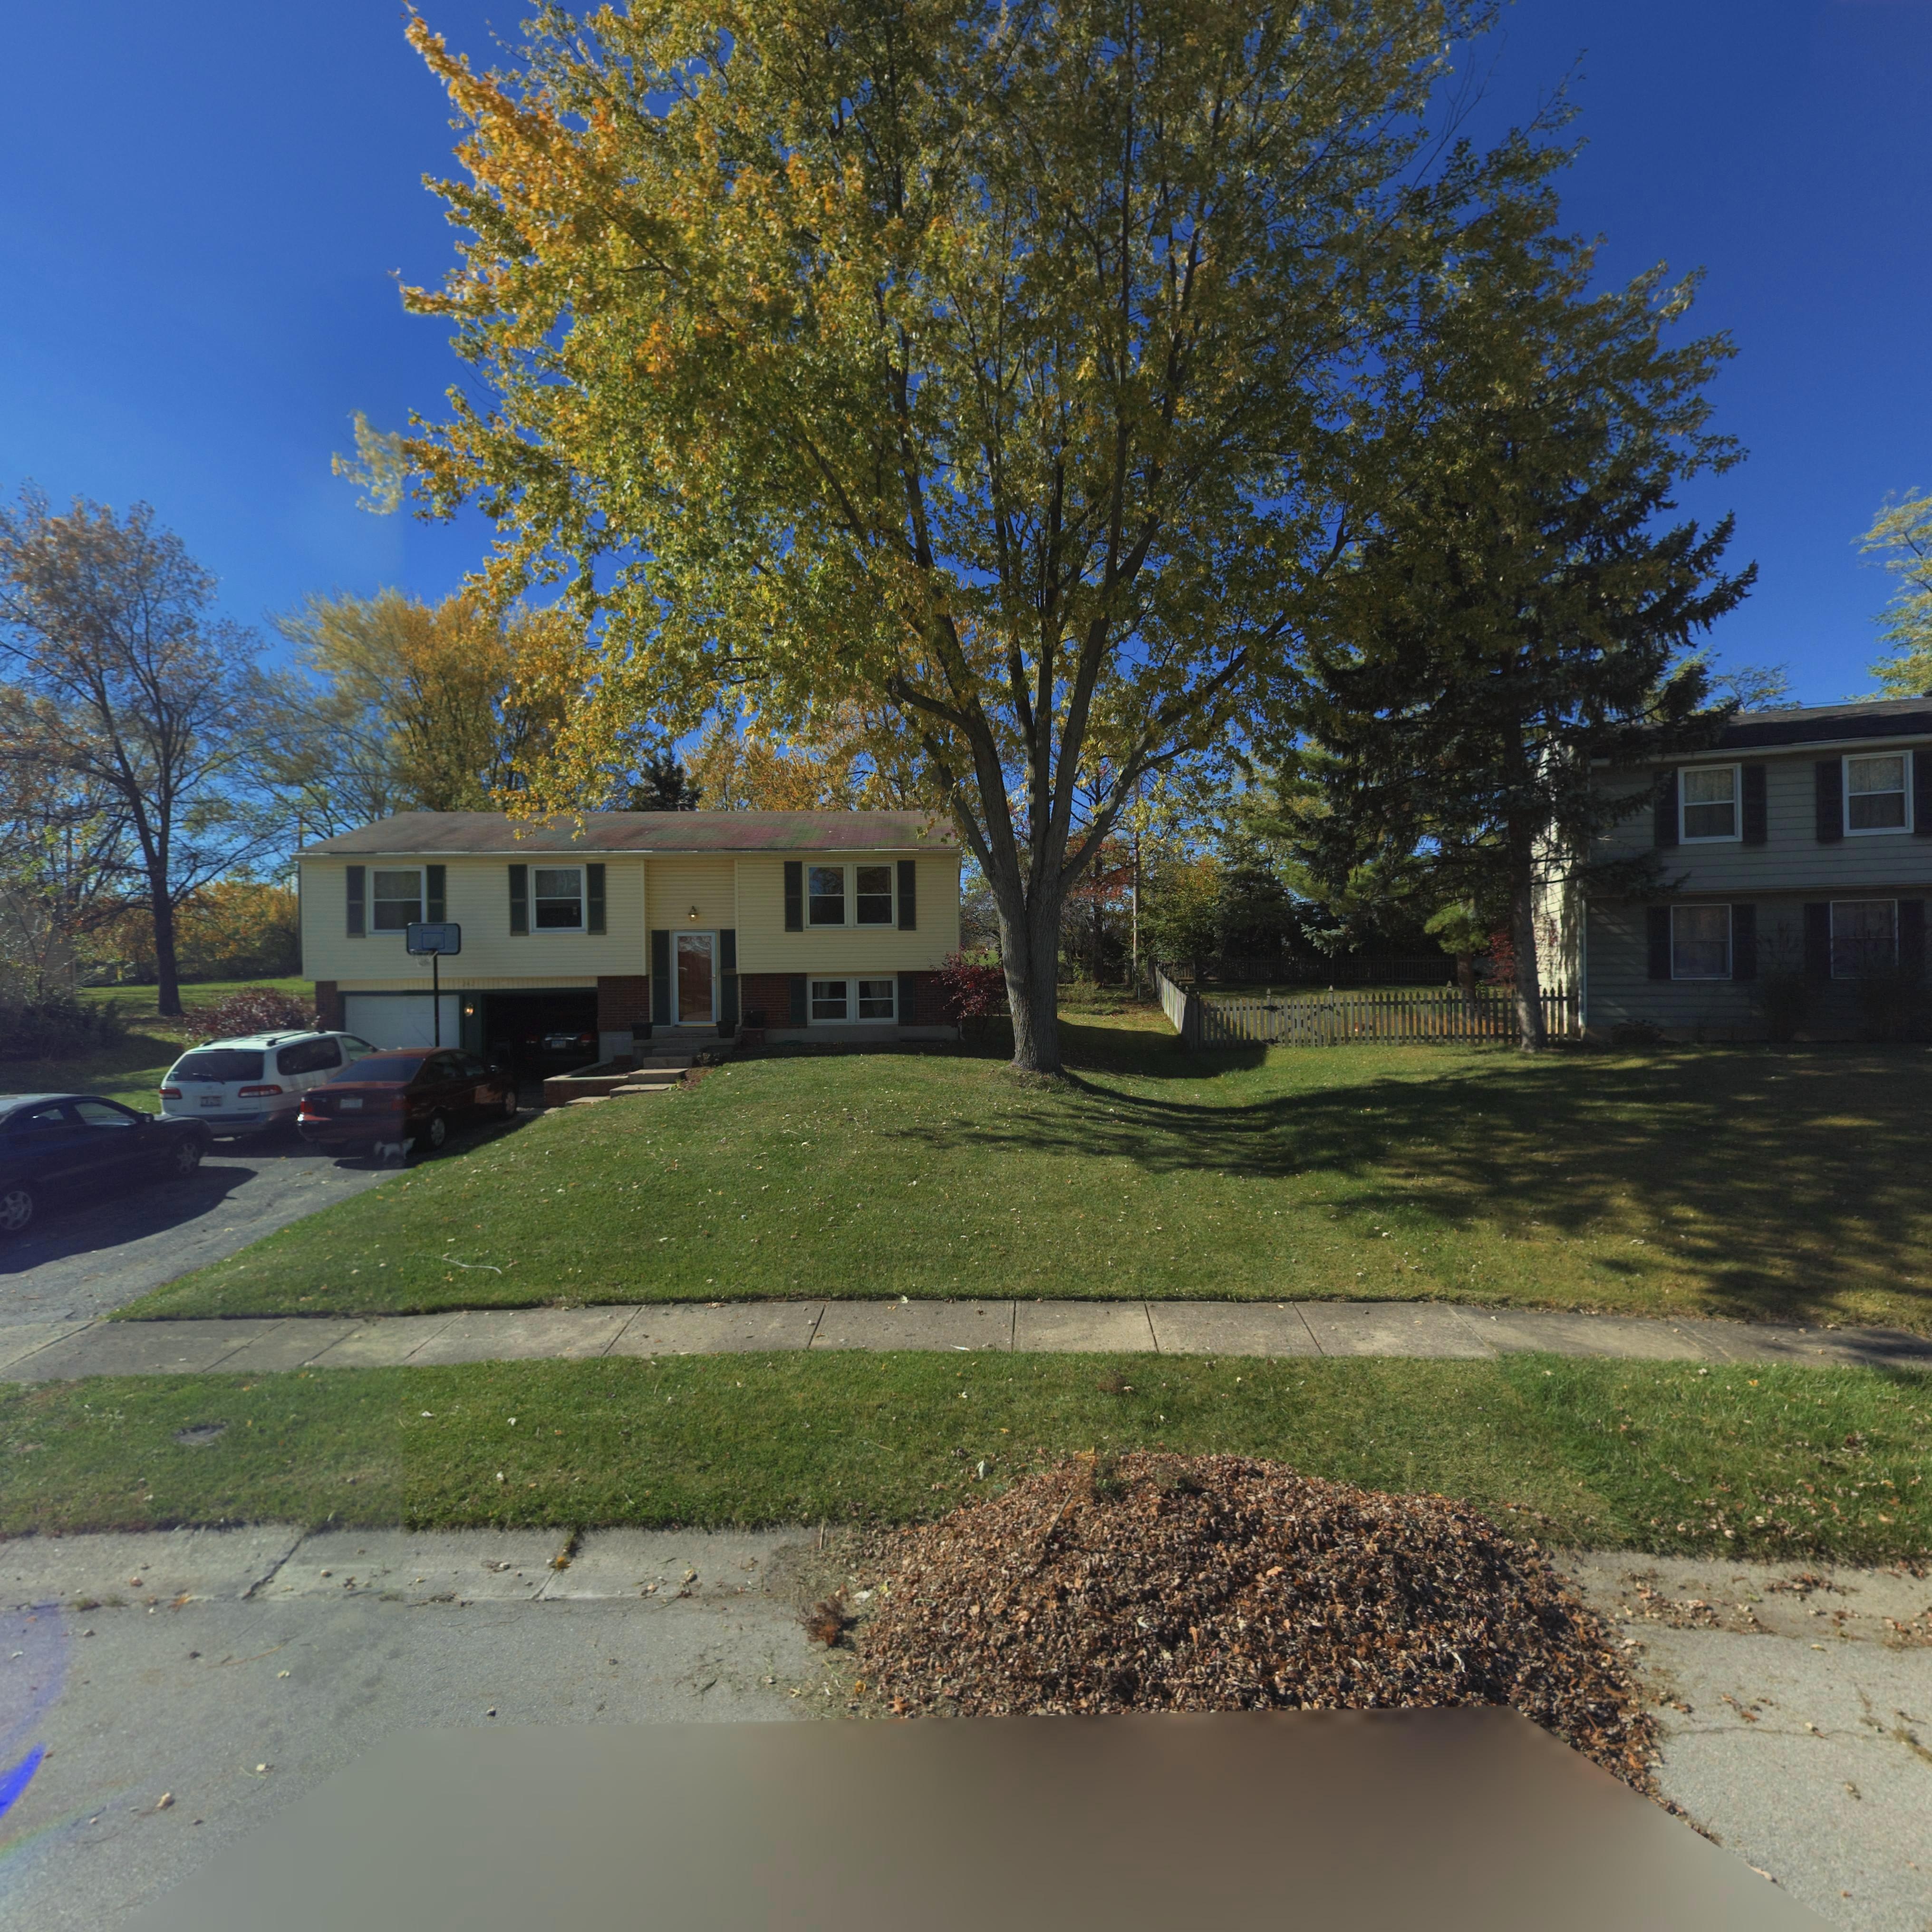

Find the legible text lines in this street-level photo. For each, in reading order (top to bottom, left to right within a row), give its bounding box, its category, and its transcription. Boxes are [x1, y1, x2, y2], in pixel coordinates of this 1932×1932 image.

[461, 980, 475, 987] StreetNumber: 242